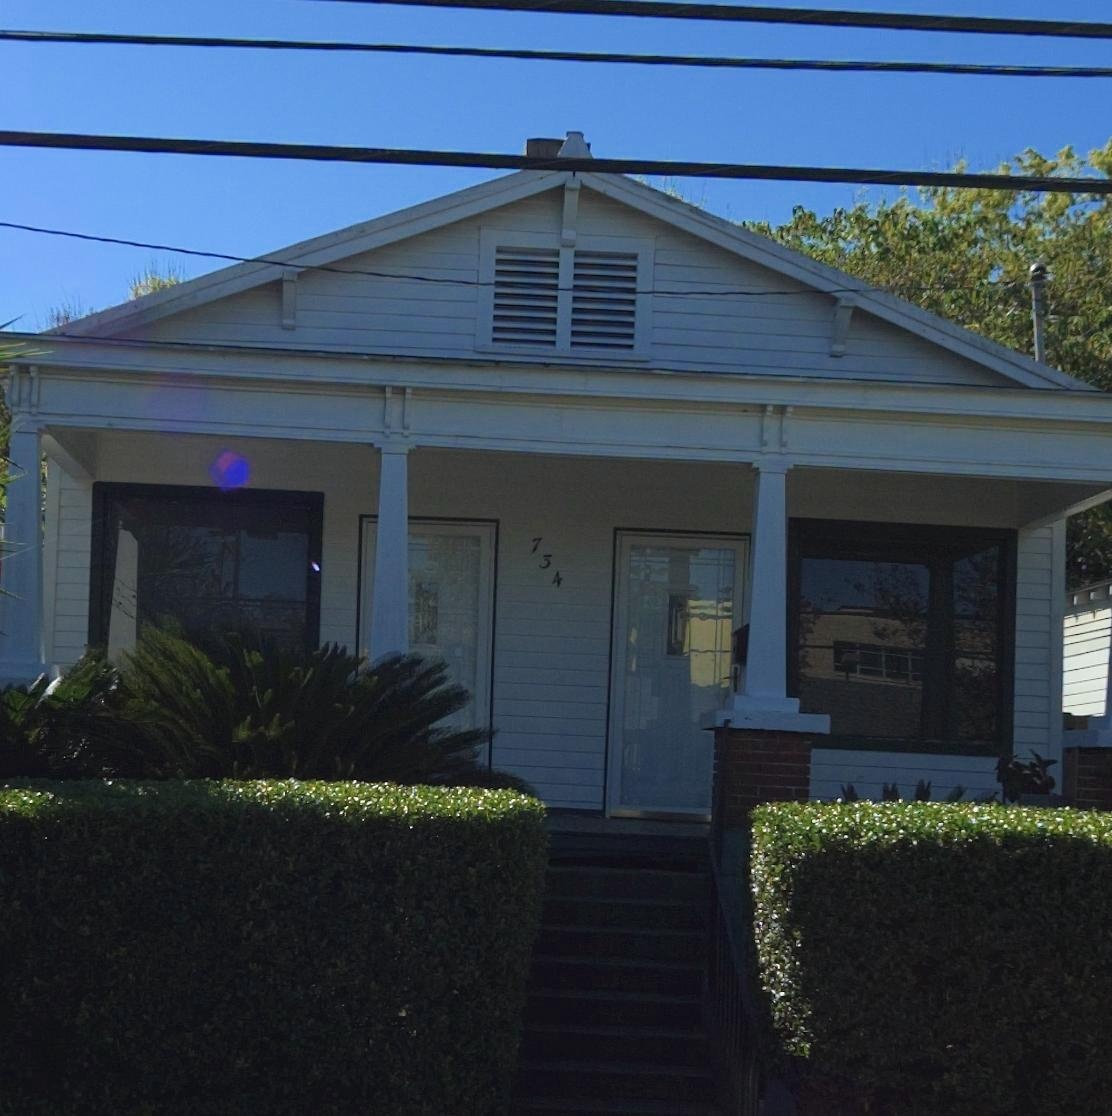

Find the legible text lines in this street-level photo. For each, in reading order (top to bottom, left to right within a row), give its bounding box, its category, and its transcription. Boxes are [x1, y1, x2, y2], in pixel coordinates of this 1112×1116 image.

[528, 535, 567, 590] StreetNumber: 734